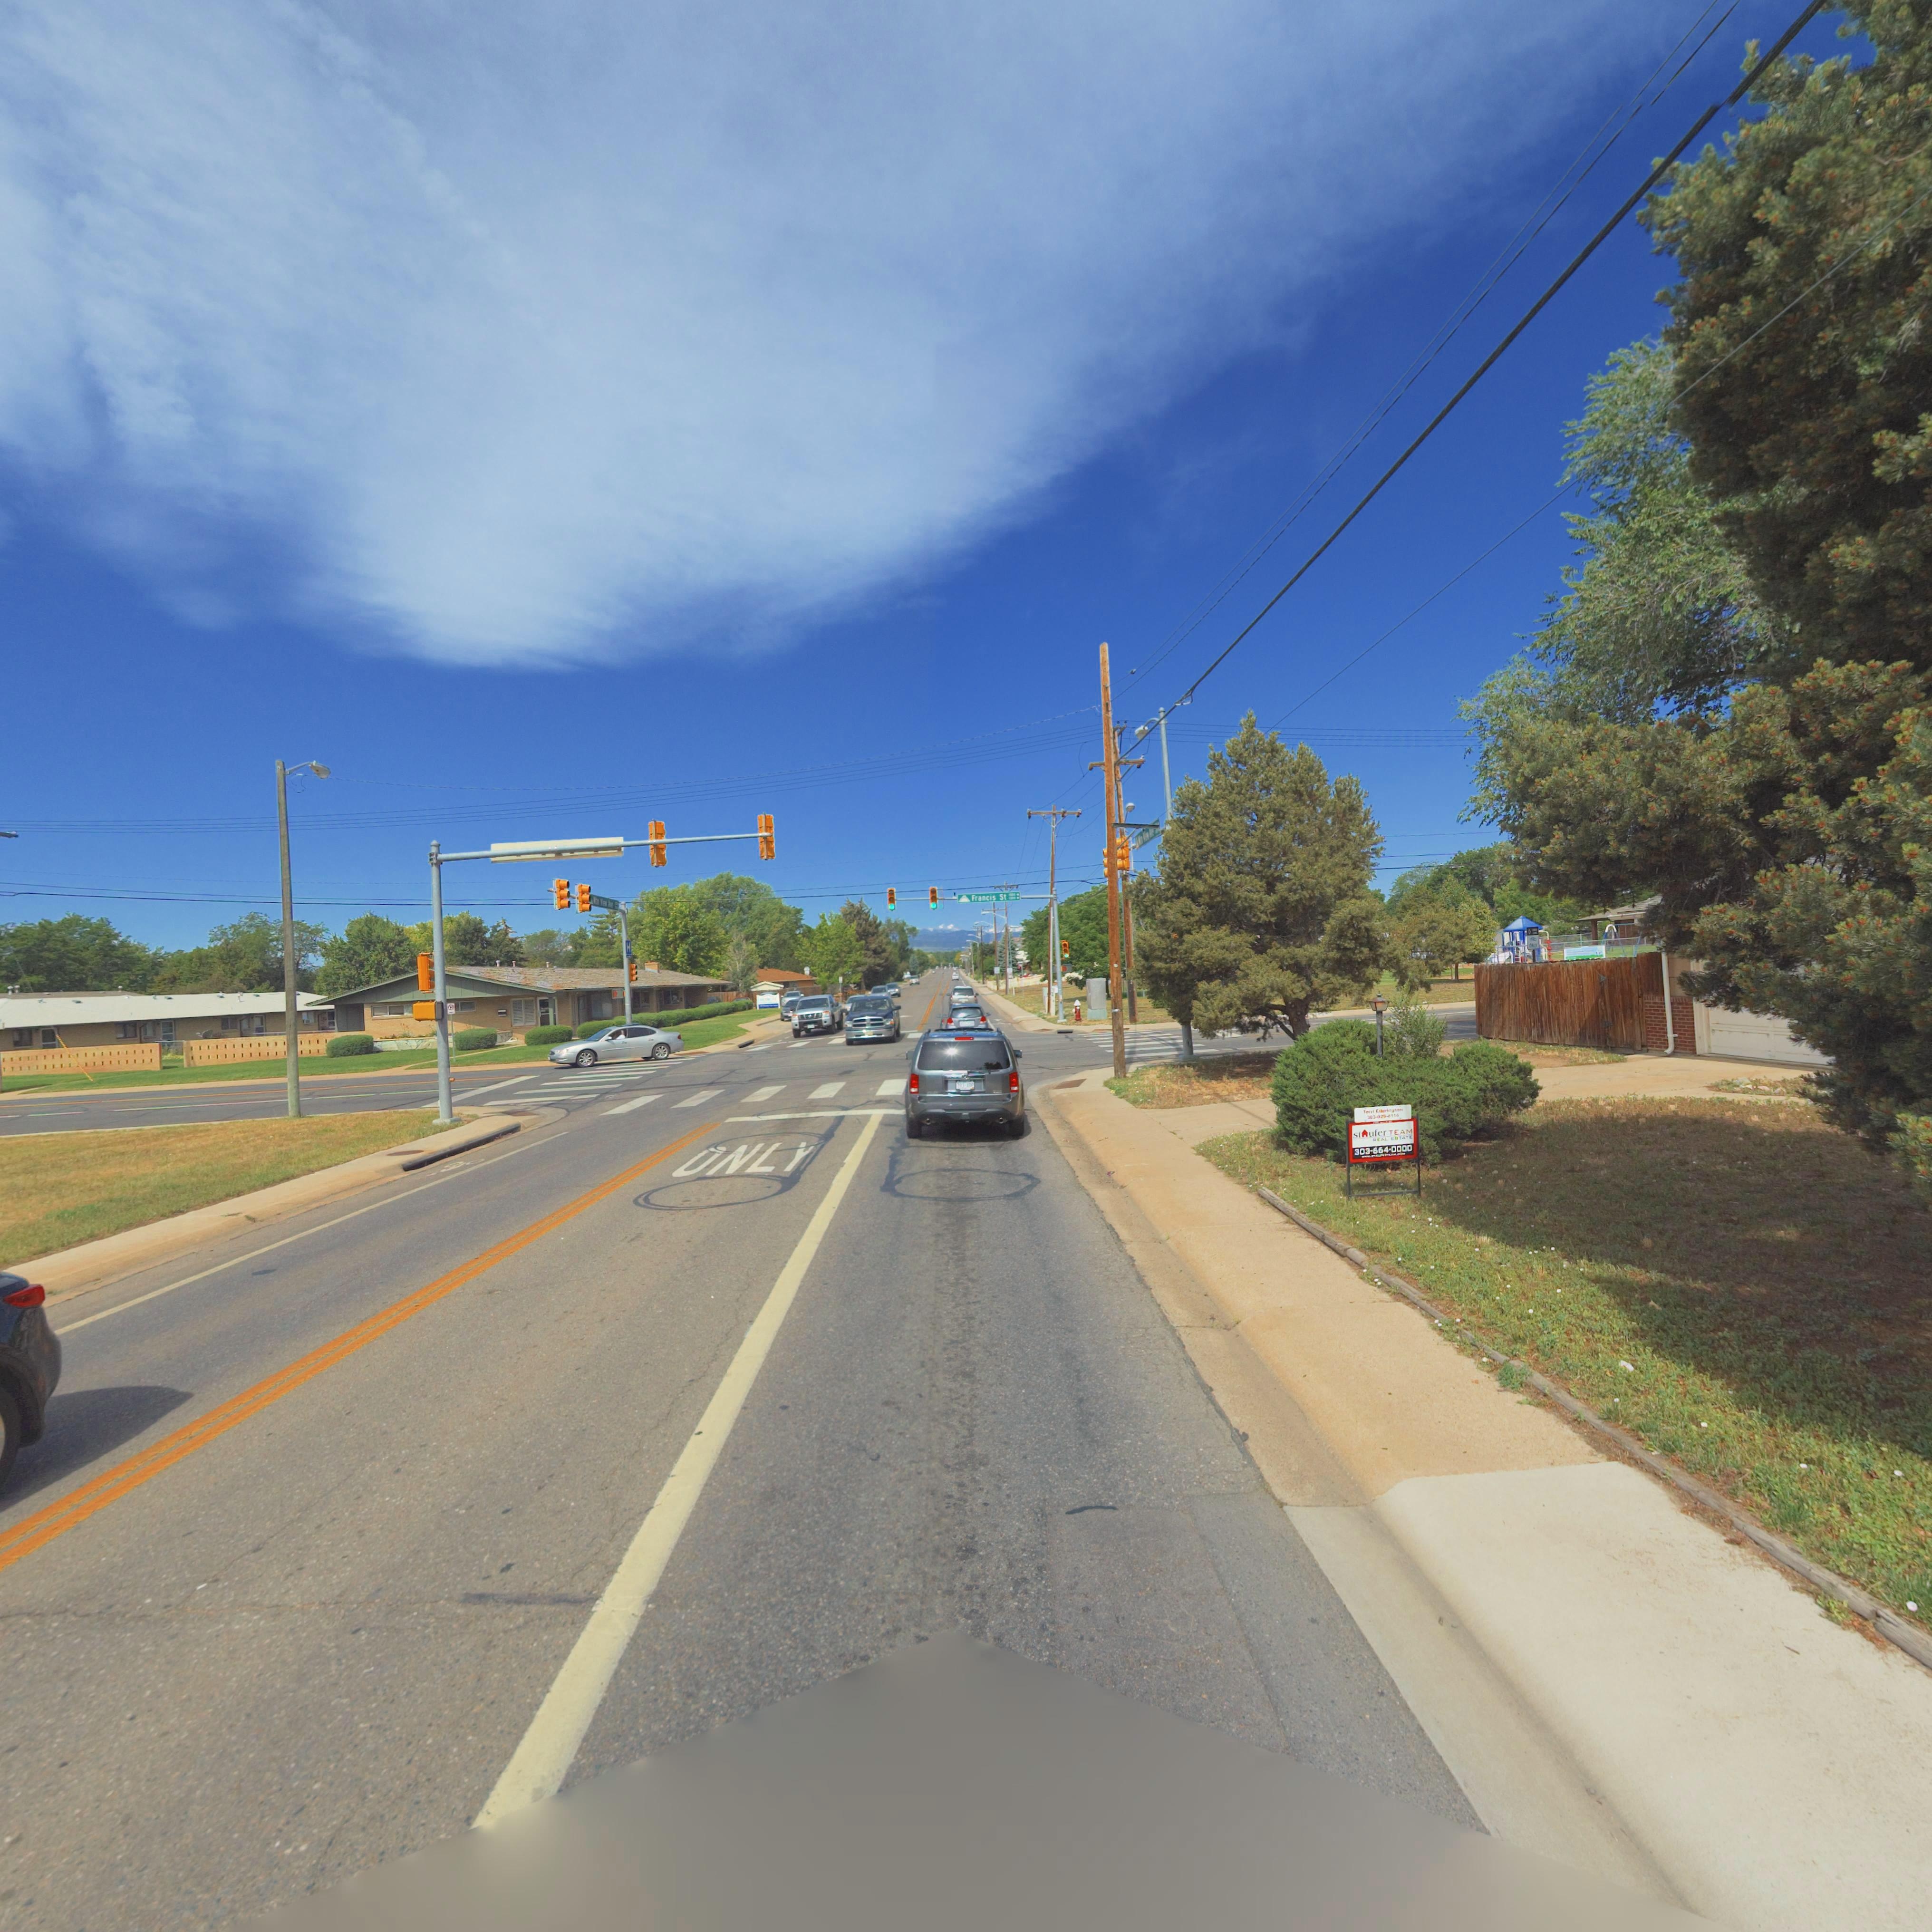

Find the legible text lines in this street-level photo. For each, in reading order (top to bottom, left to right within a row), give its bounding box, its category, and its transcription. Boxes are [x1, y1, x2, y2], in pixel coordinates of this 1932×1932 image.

[1135, 826, 1154, 848] StreetName: A* V** *e
[593, 896, 613, 908] StreetName: *tn Ve* *ve
[971, 893, 1006, 901] StreetName: Francis St